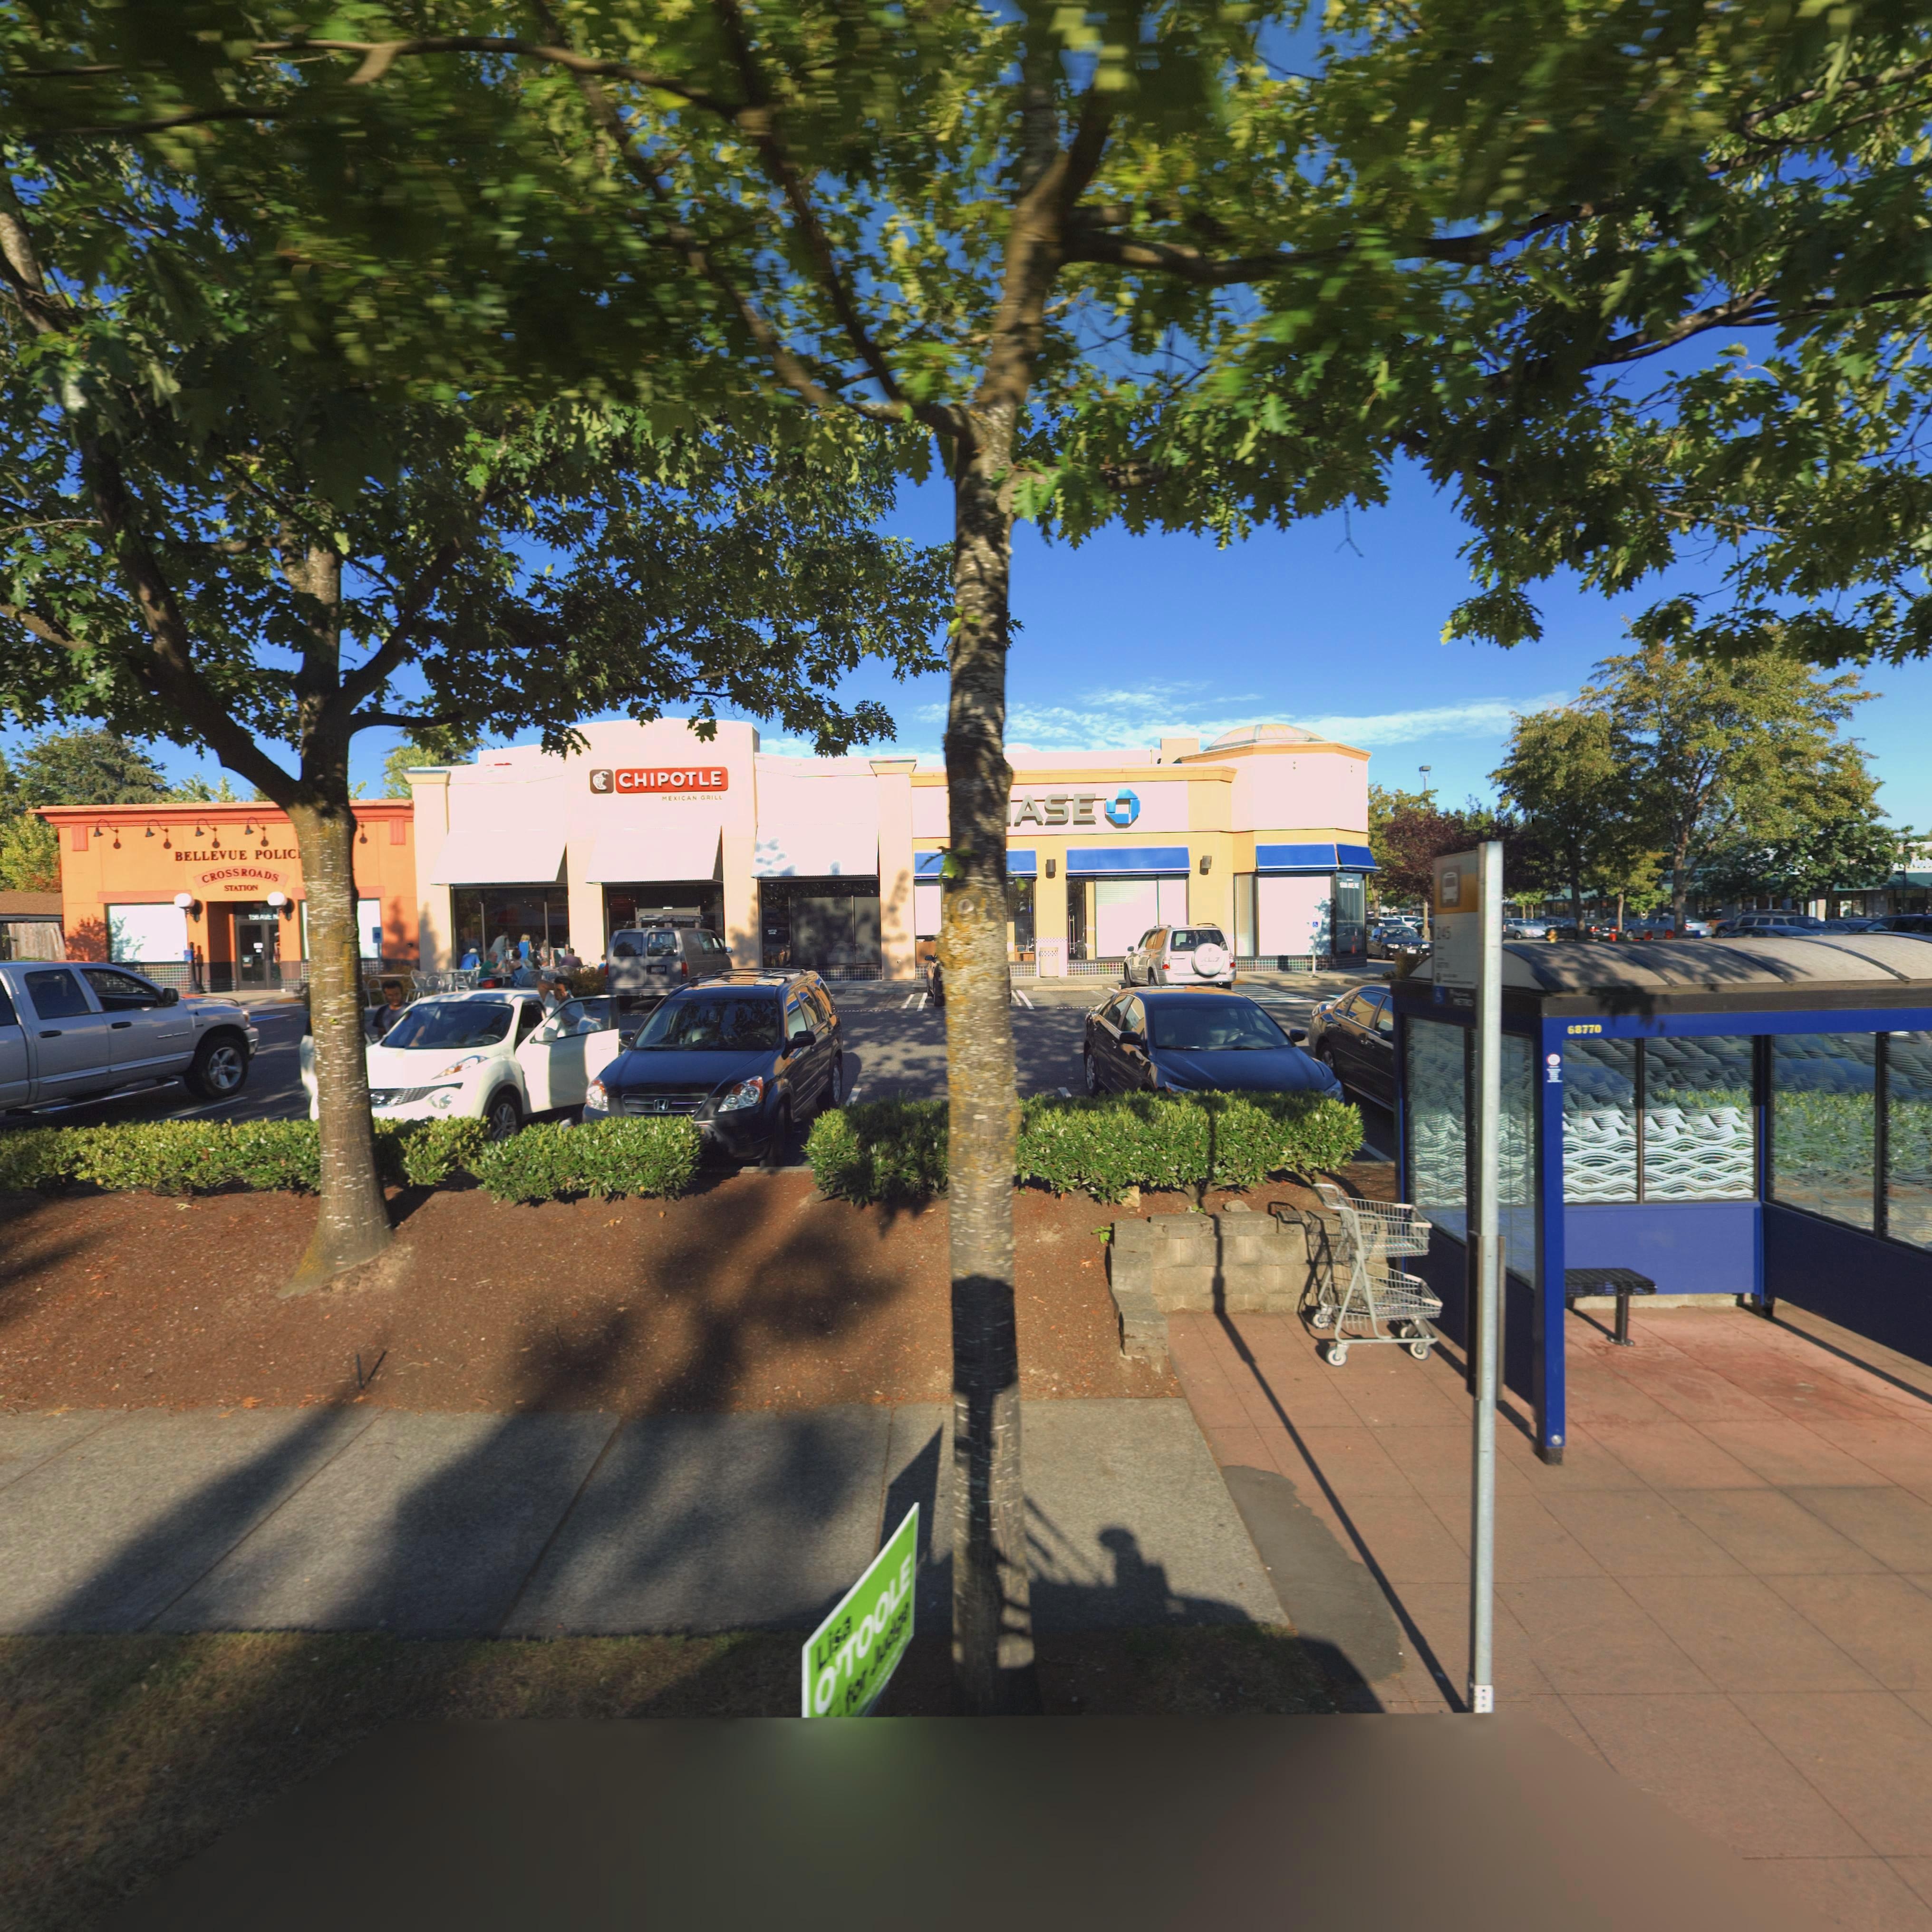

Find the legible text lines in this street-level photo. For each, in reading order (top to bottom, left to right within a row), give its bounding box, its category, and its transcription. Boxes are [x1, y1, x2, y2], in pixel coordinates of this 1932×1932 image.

[617, 770, 723, 788] BusinessName: CHIPOTLE
[661, 794, 722, 801] BusinessName: MEXICAN GRILL
[997, 792, 1097, 824] BusinessName: *ASE
[174, 848, 303, 861] BusinessName: BELLEVUE POLIC*
[247, 913, 279, 920] StreetName: 156 Ave N*